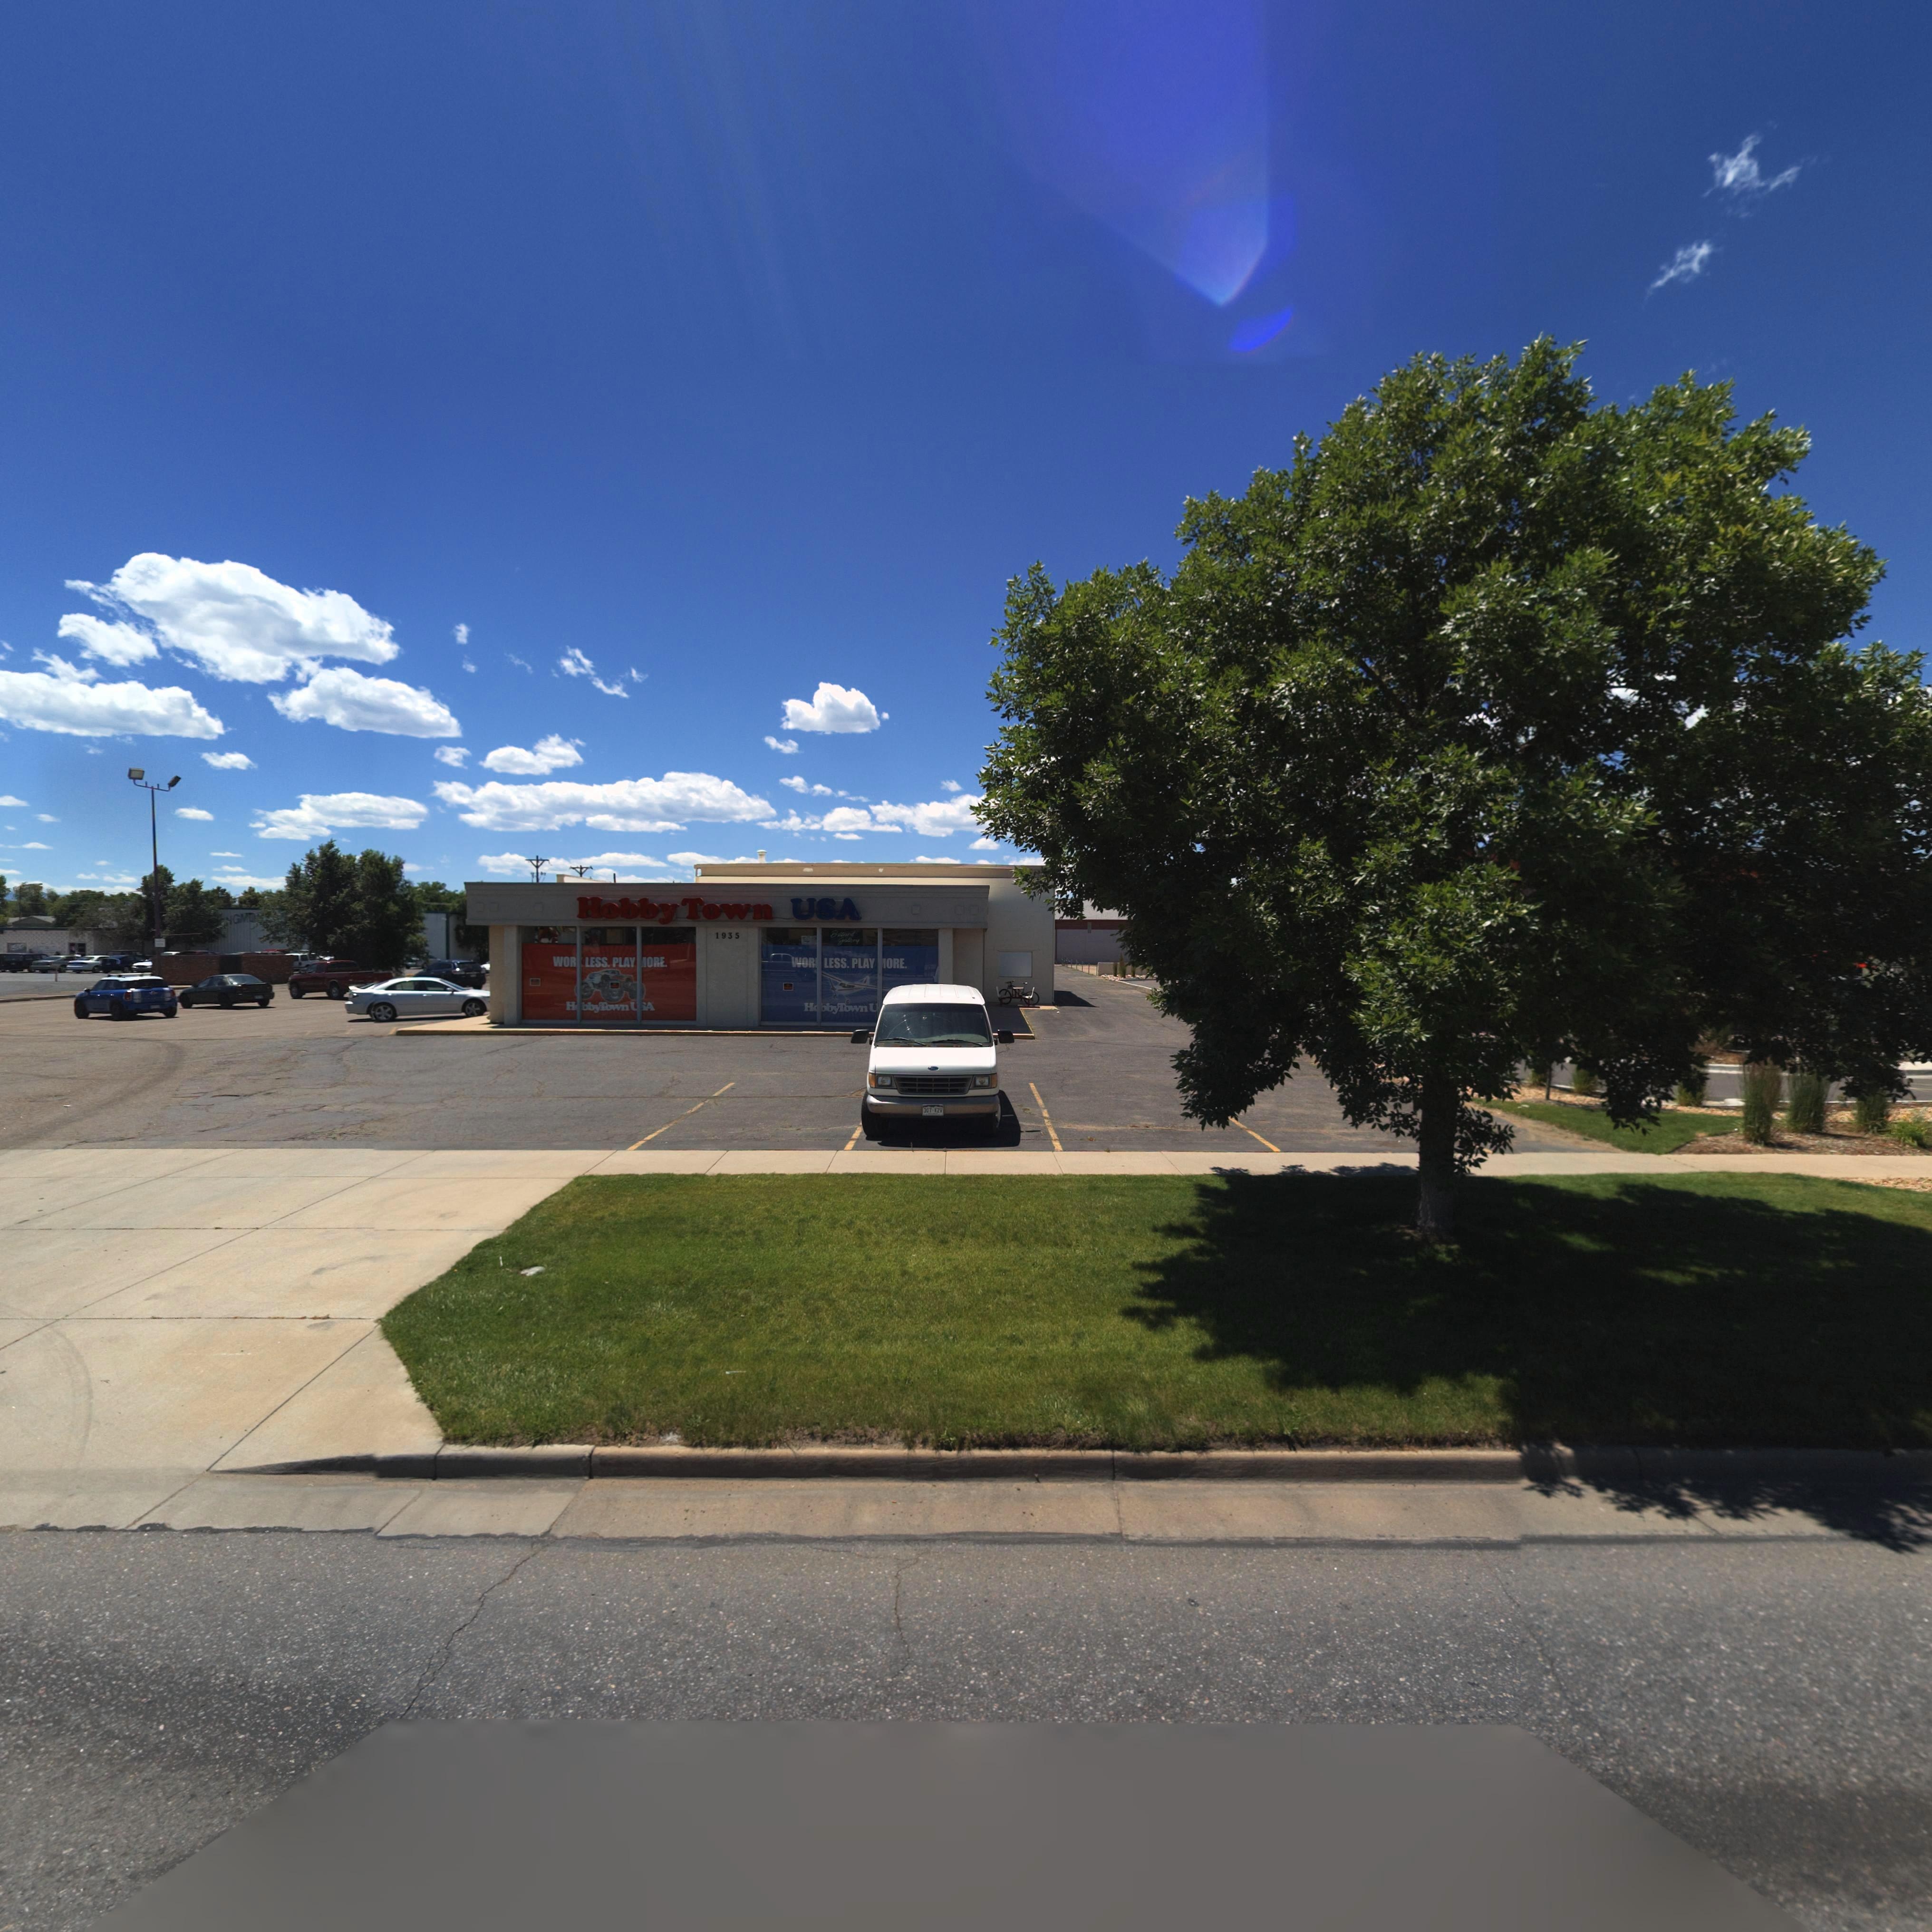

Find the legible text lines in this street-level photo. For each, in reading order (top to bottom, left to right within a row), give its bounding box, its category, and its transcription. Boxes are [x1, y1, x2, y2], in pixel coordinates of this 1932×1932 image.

[574, 894, 863, 925] BusinessName: Hobby Town USA
[216, 911, 262, 932] BusinessName: *NGM**
[715, 932, 739, 939] StreetNumber: 1935
[566, 1001, 656, 1014] BusinessName: H*bbyTown USA
[803, 1001, 879, 1014] BusinessName: Ho*yTown U